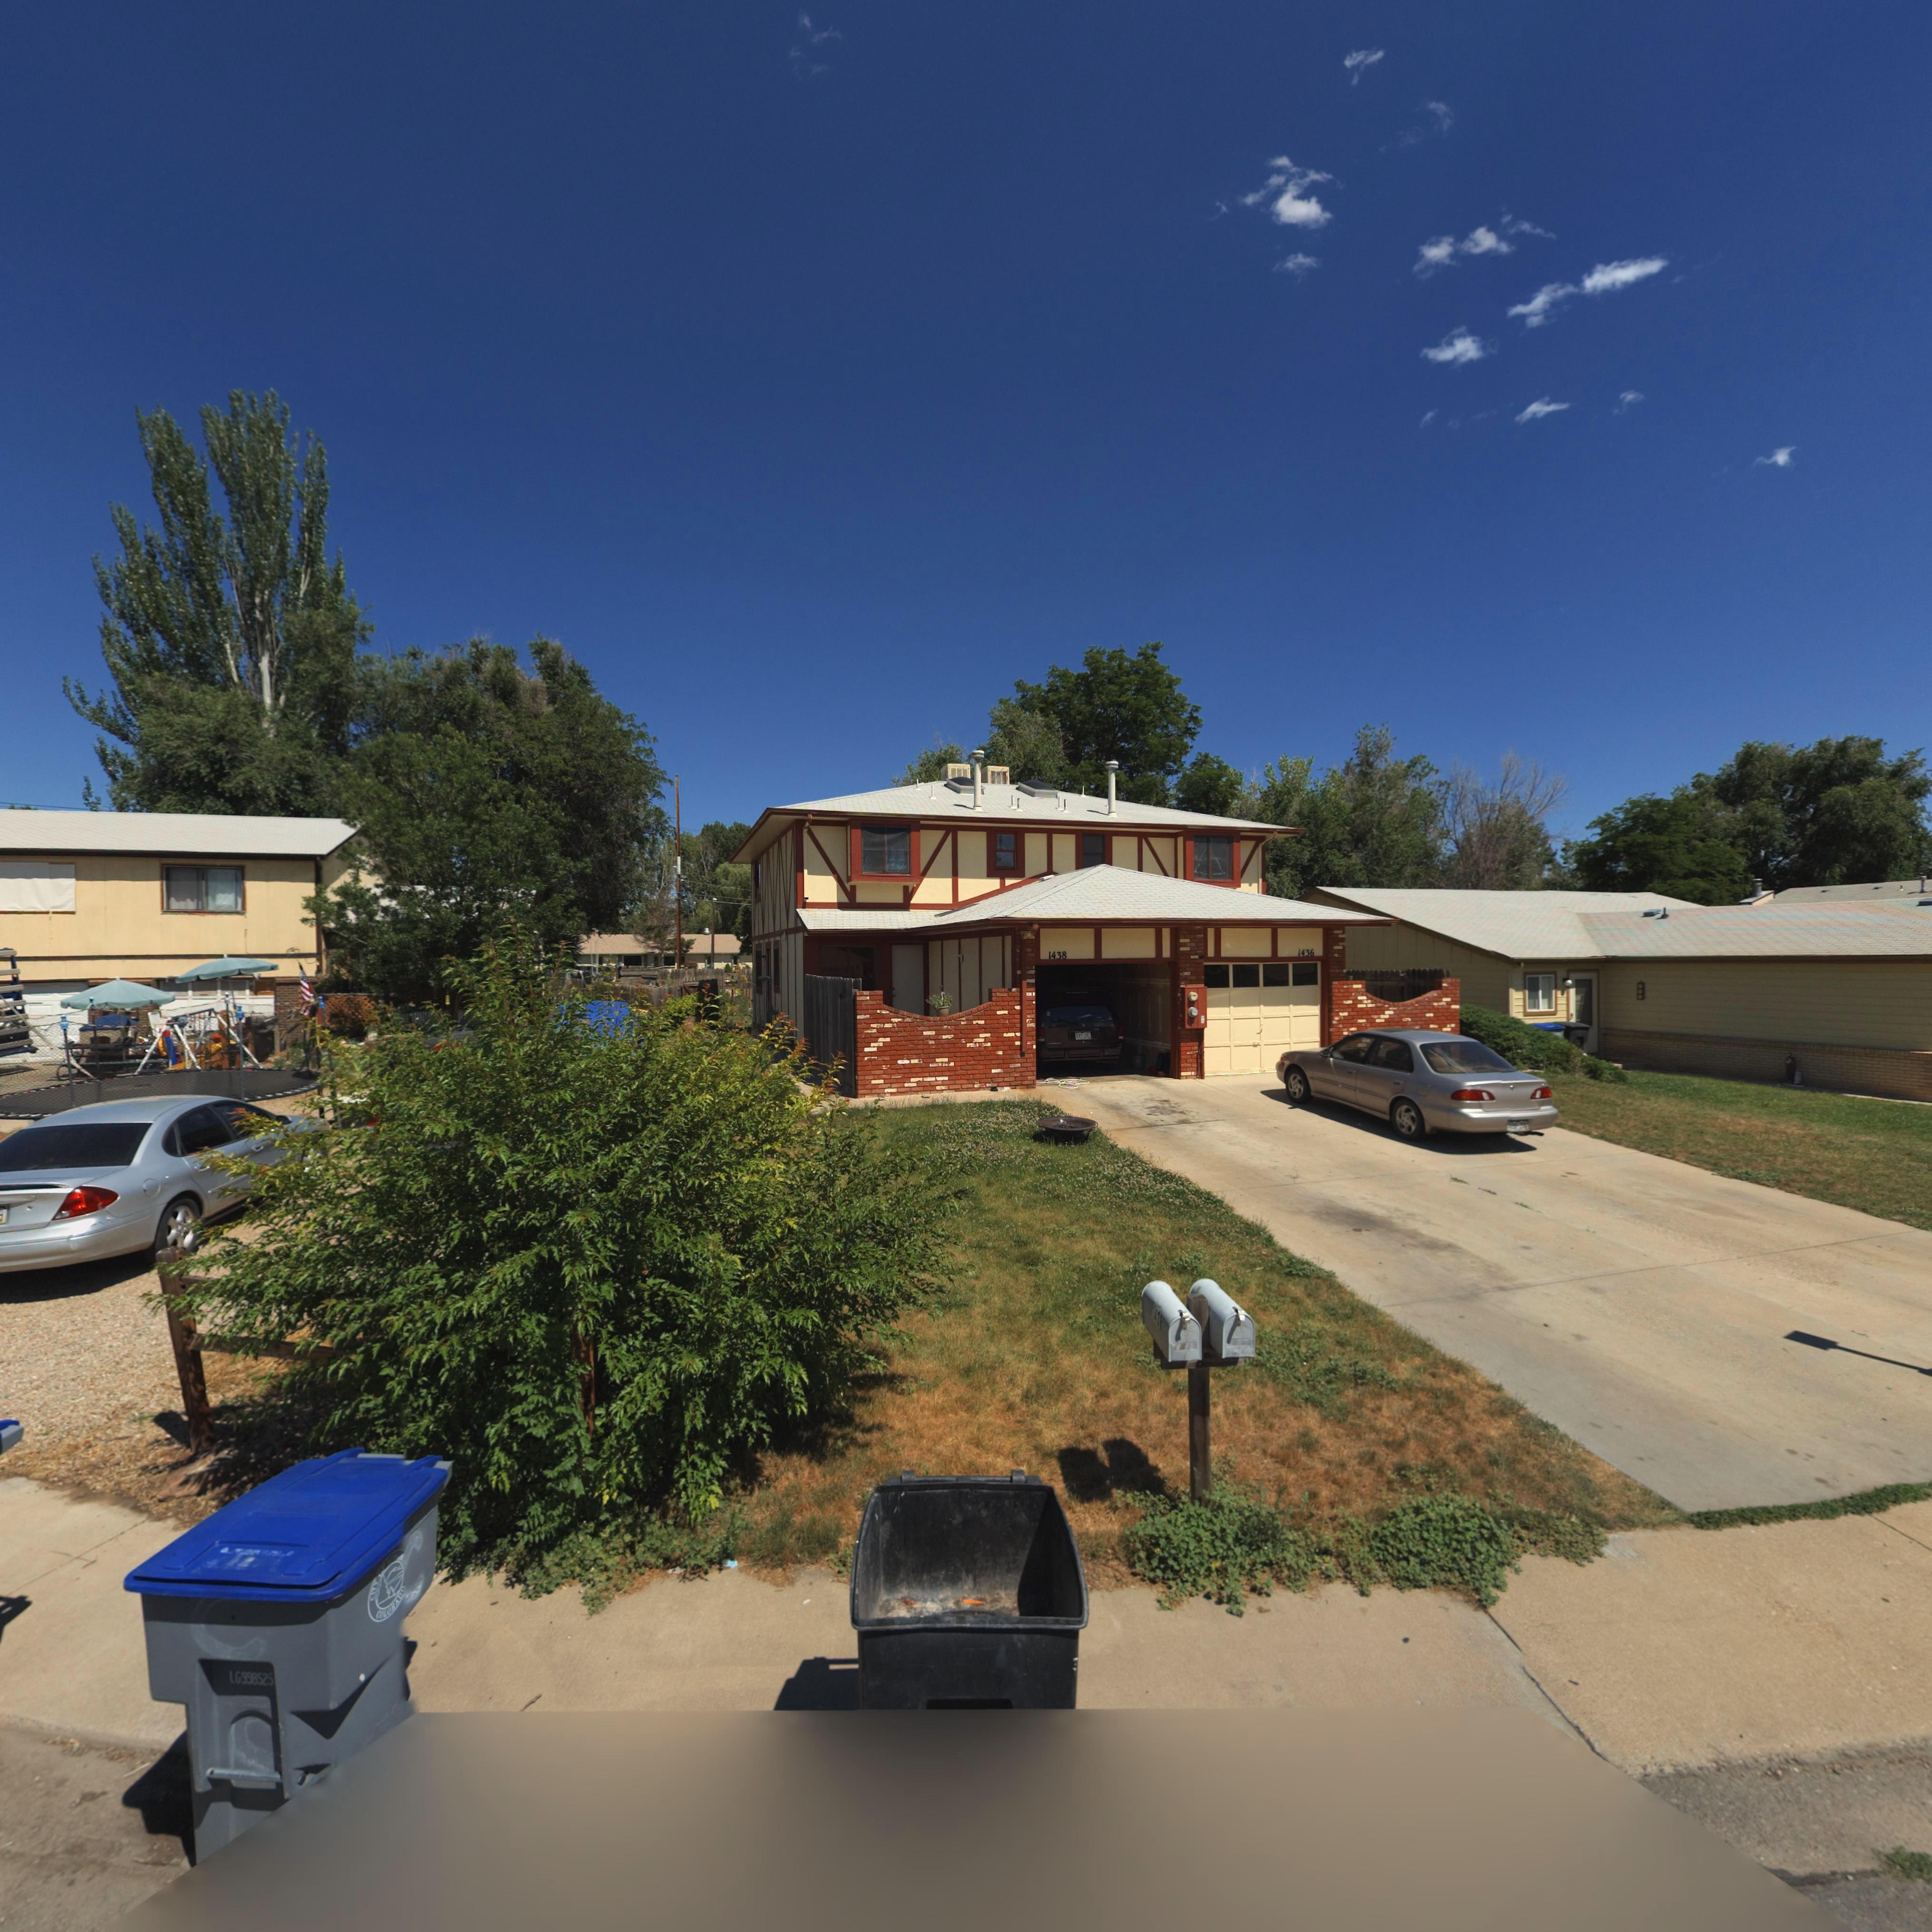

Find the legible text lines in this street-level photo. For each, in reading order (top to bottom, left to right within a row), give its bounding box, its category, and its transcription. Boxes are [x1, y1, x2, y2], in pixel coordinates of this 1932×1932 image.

[1048, 951, 1067, 959] StreetNumber: 1438
[1298, 948, 1314, 956] StreetNumber: 1436
[1151, 1305, 1163, 1330] StreetNumber: 143*